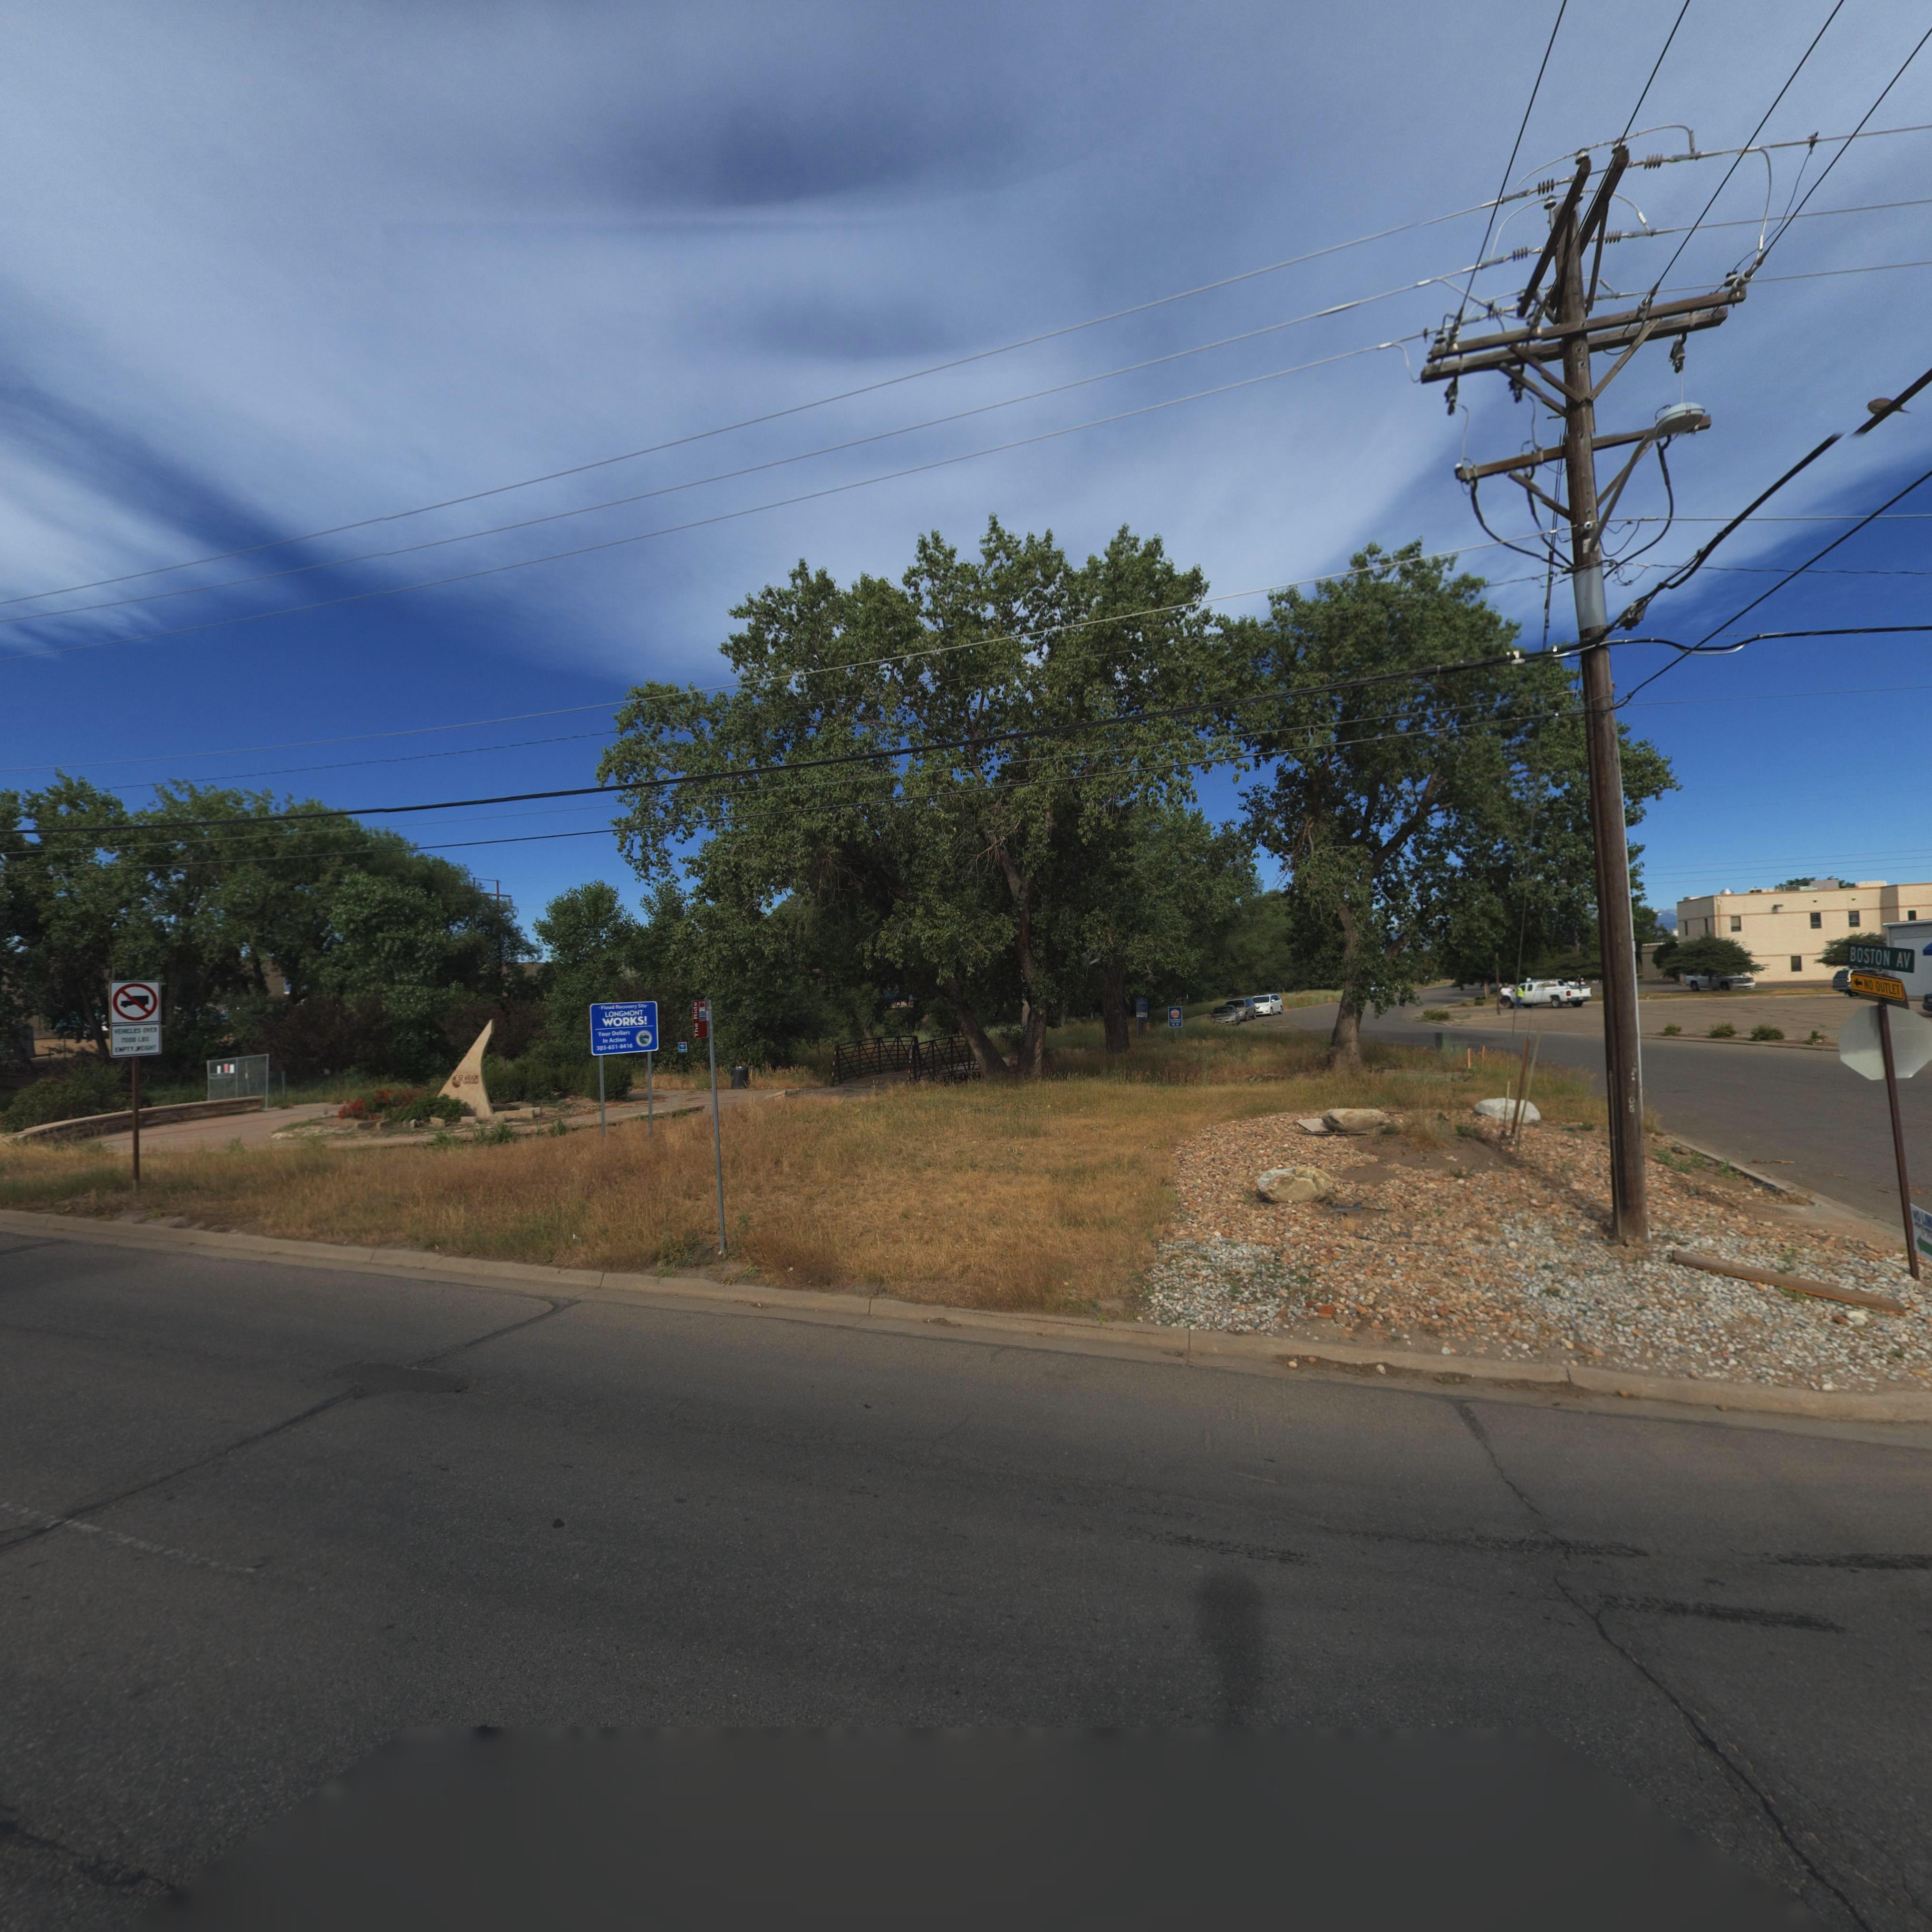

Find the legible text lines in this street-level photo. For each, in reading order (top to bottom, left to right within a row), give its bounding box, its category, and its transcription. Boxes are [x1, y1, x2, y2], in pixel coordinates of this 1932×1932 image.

[1849, 946, 1911, 968] StreetName: BOSTON AV